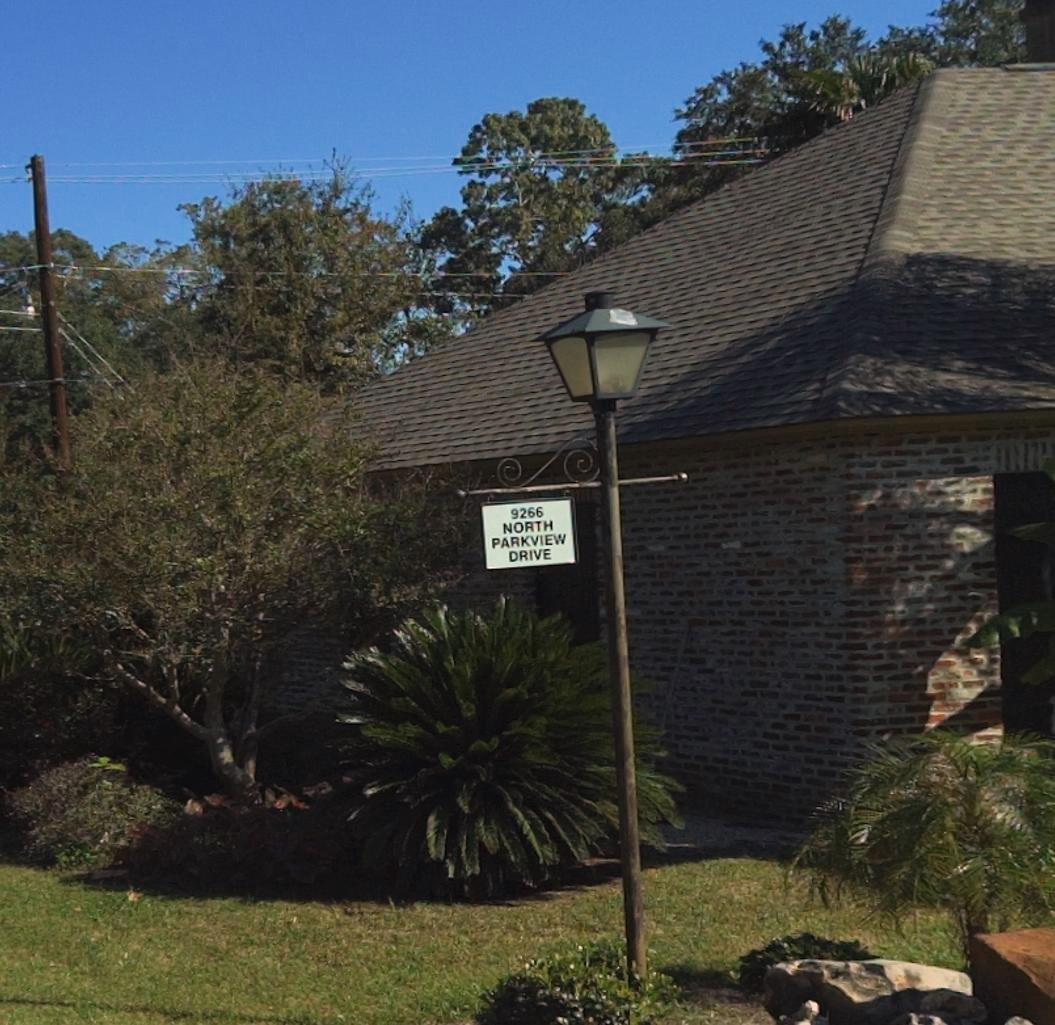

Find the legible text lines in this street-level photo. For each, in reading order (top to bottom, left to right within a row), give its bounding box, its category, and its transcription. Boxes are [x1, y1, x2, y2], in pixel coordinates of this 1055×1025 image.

[509, 505, 545, 521] StreetNumber: 9266
[501, 518, 555, 536] StreetName: NORTH
[490, 531, 570, 551] StreetName: PARKVIEW
[507, 547, 554, 564] StreetName: DRIVE